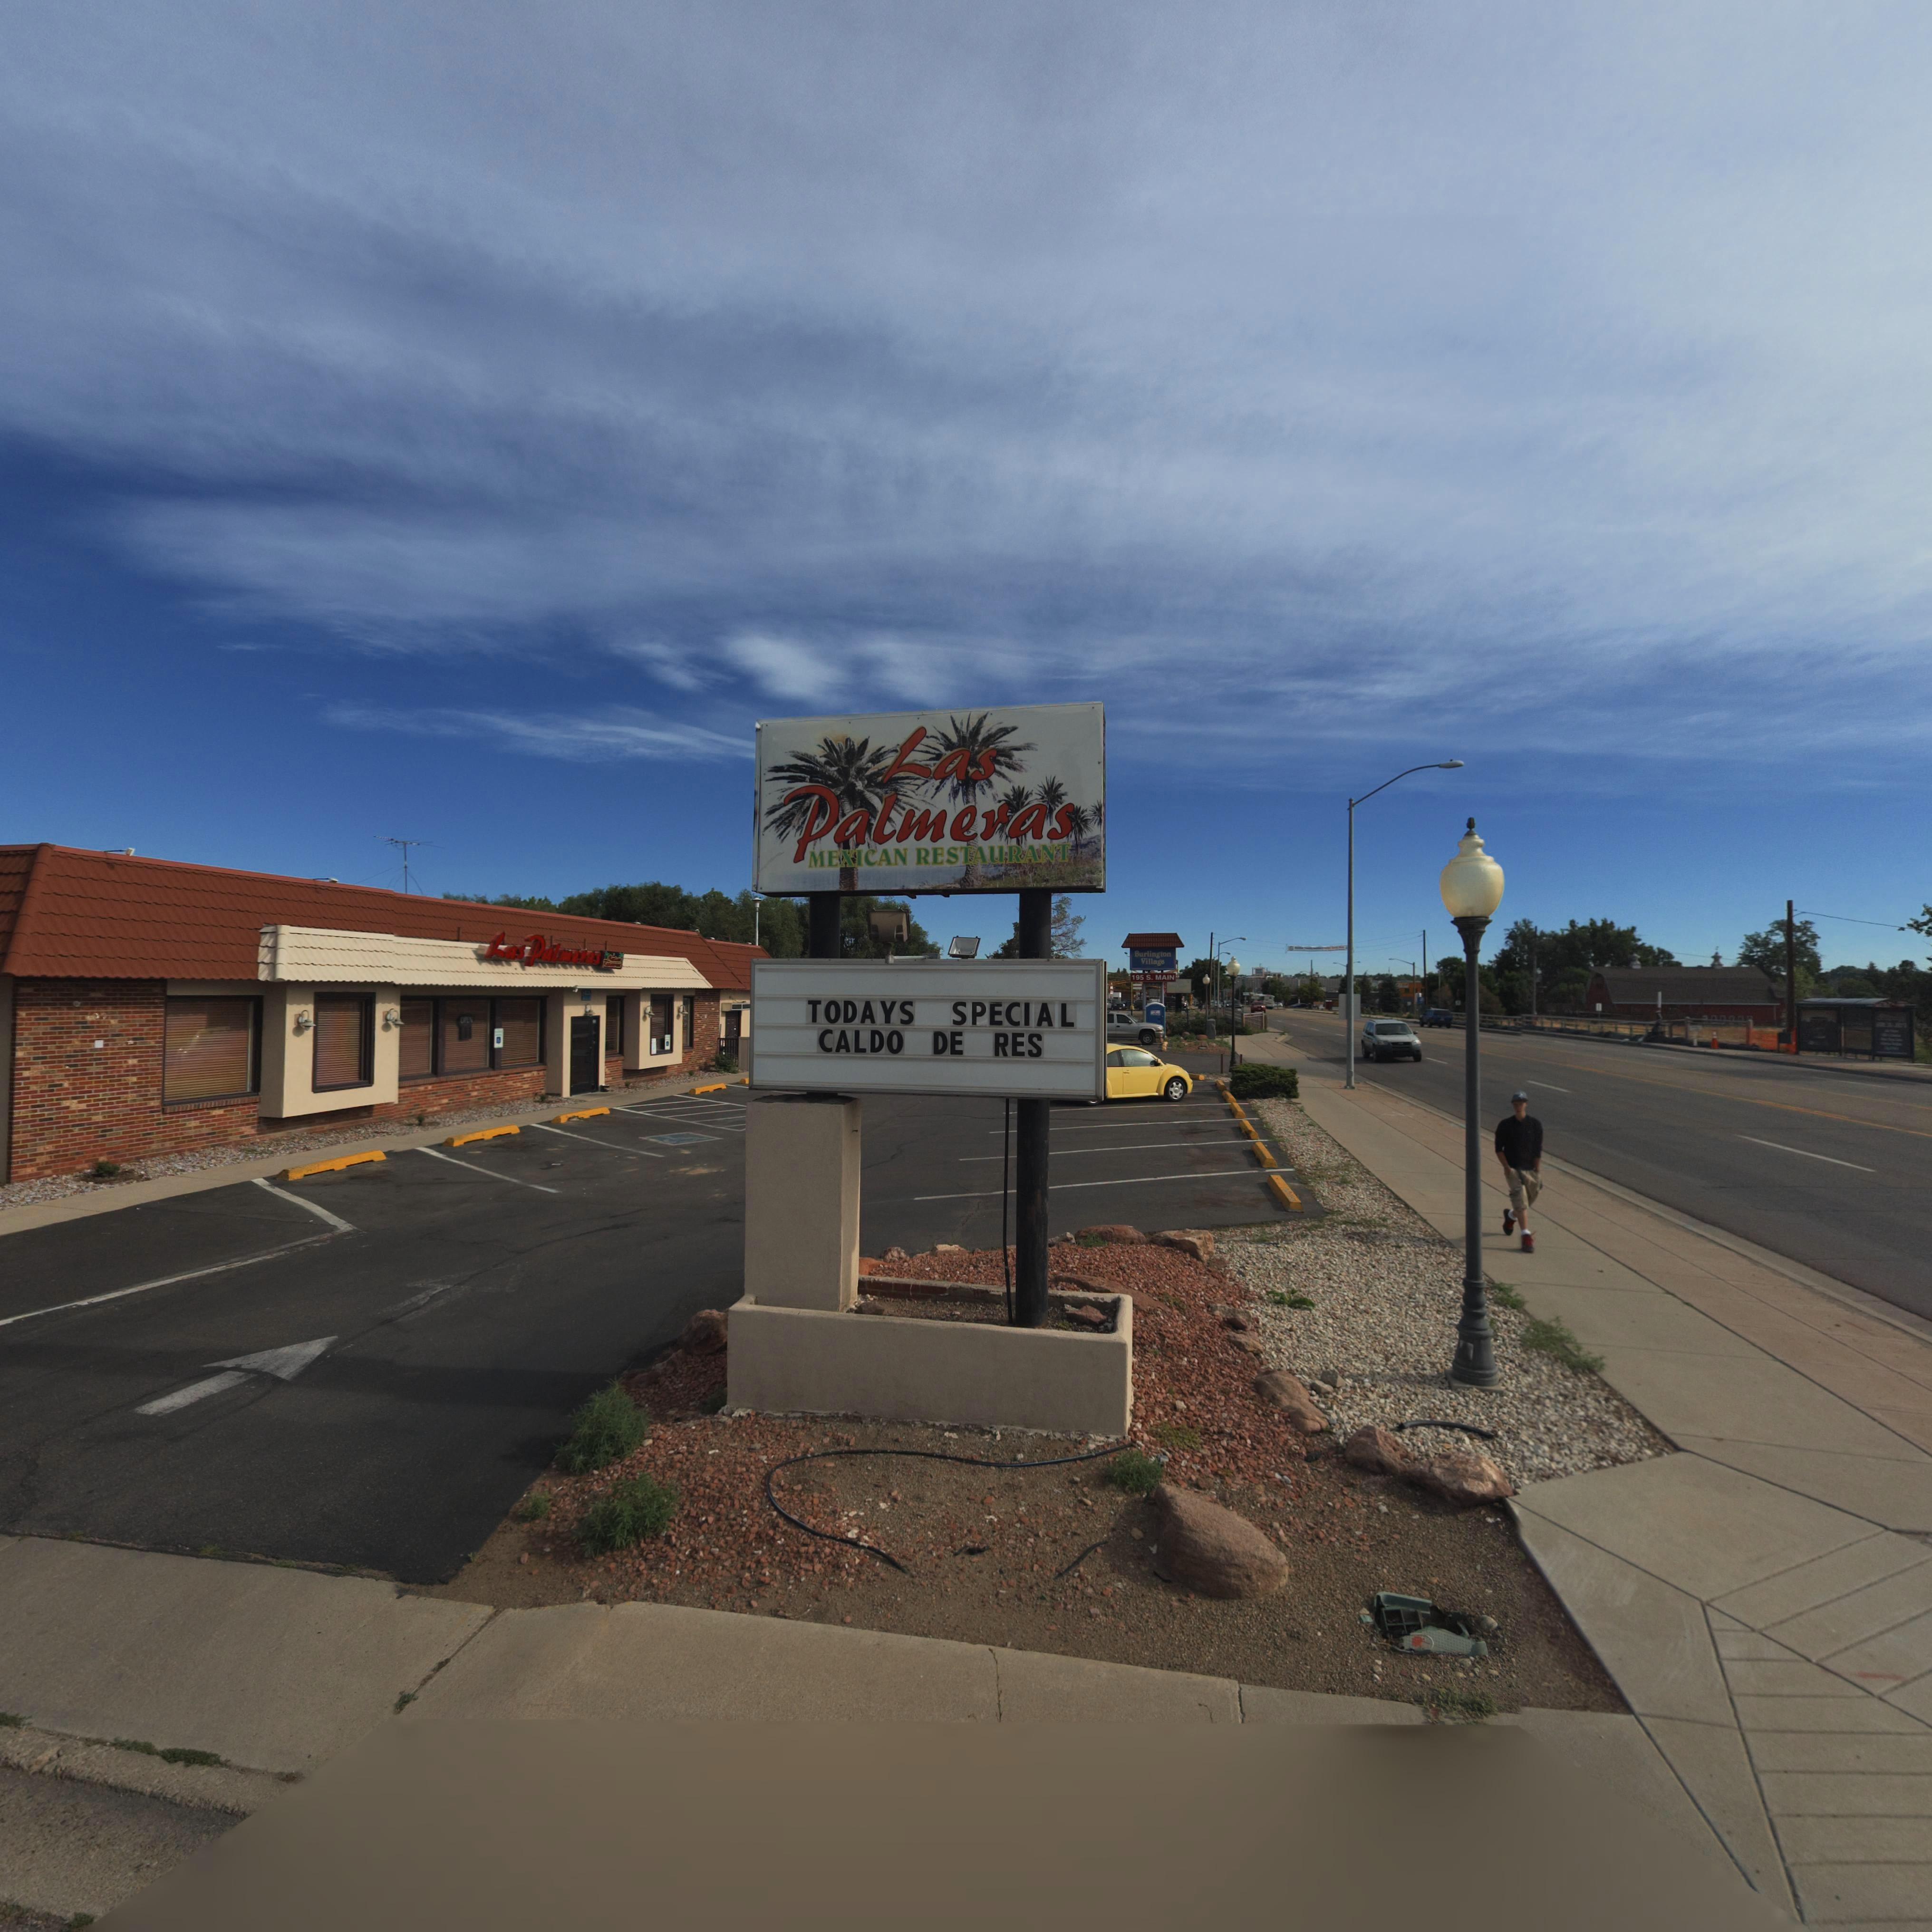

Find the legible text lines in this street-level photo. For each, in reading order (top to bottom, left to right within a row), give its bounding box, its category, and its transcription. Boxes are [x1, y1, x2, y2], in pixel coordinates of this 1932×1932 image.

[879, 724, 1002, 785] BusinessName: Las
[774, 780, 1078, 871] BusinessName: Palmeras
[799, 842, 1074, 873] BusinessName: MEXICAN RESTAURANT
[478, 927, 604, 967] BusinessName: Las Palmeras
[1130, 973, 1146, 981] StreetNumber: 195
[1134, 949, 1171, 957] BusinessName: Burlington
[1140, 957, 1166, 966] BusinessName: Village
[1145, 973, 1176, 982] BusinessName: S* MAIN